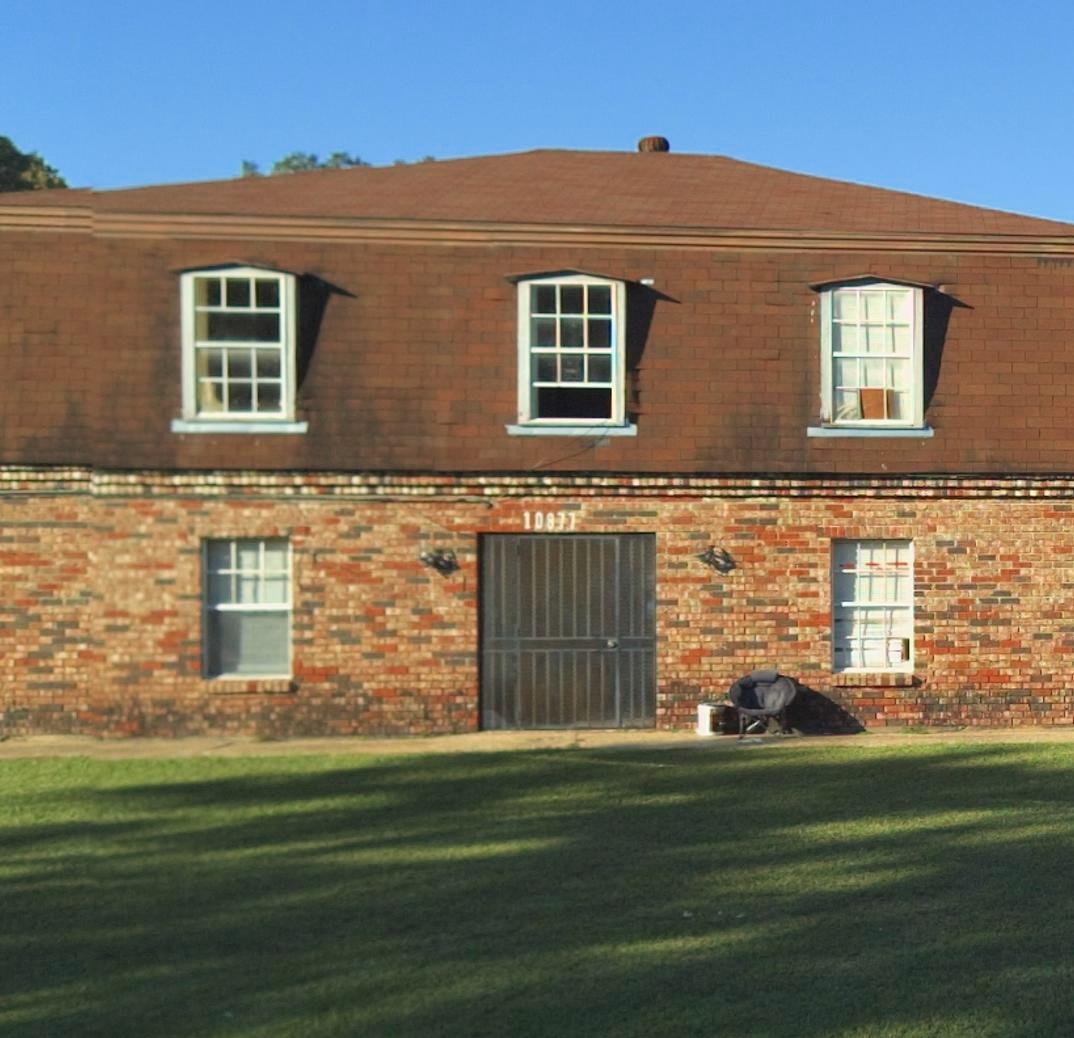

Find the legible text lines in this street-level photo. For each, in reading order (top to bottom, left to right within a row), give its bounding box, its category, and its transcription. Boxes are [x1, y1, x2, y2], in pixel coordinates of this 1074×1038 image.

[523, 510, 577, 530] StreetNumber: 10877